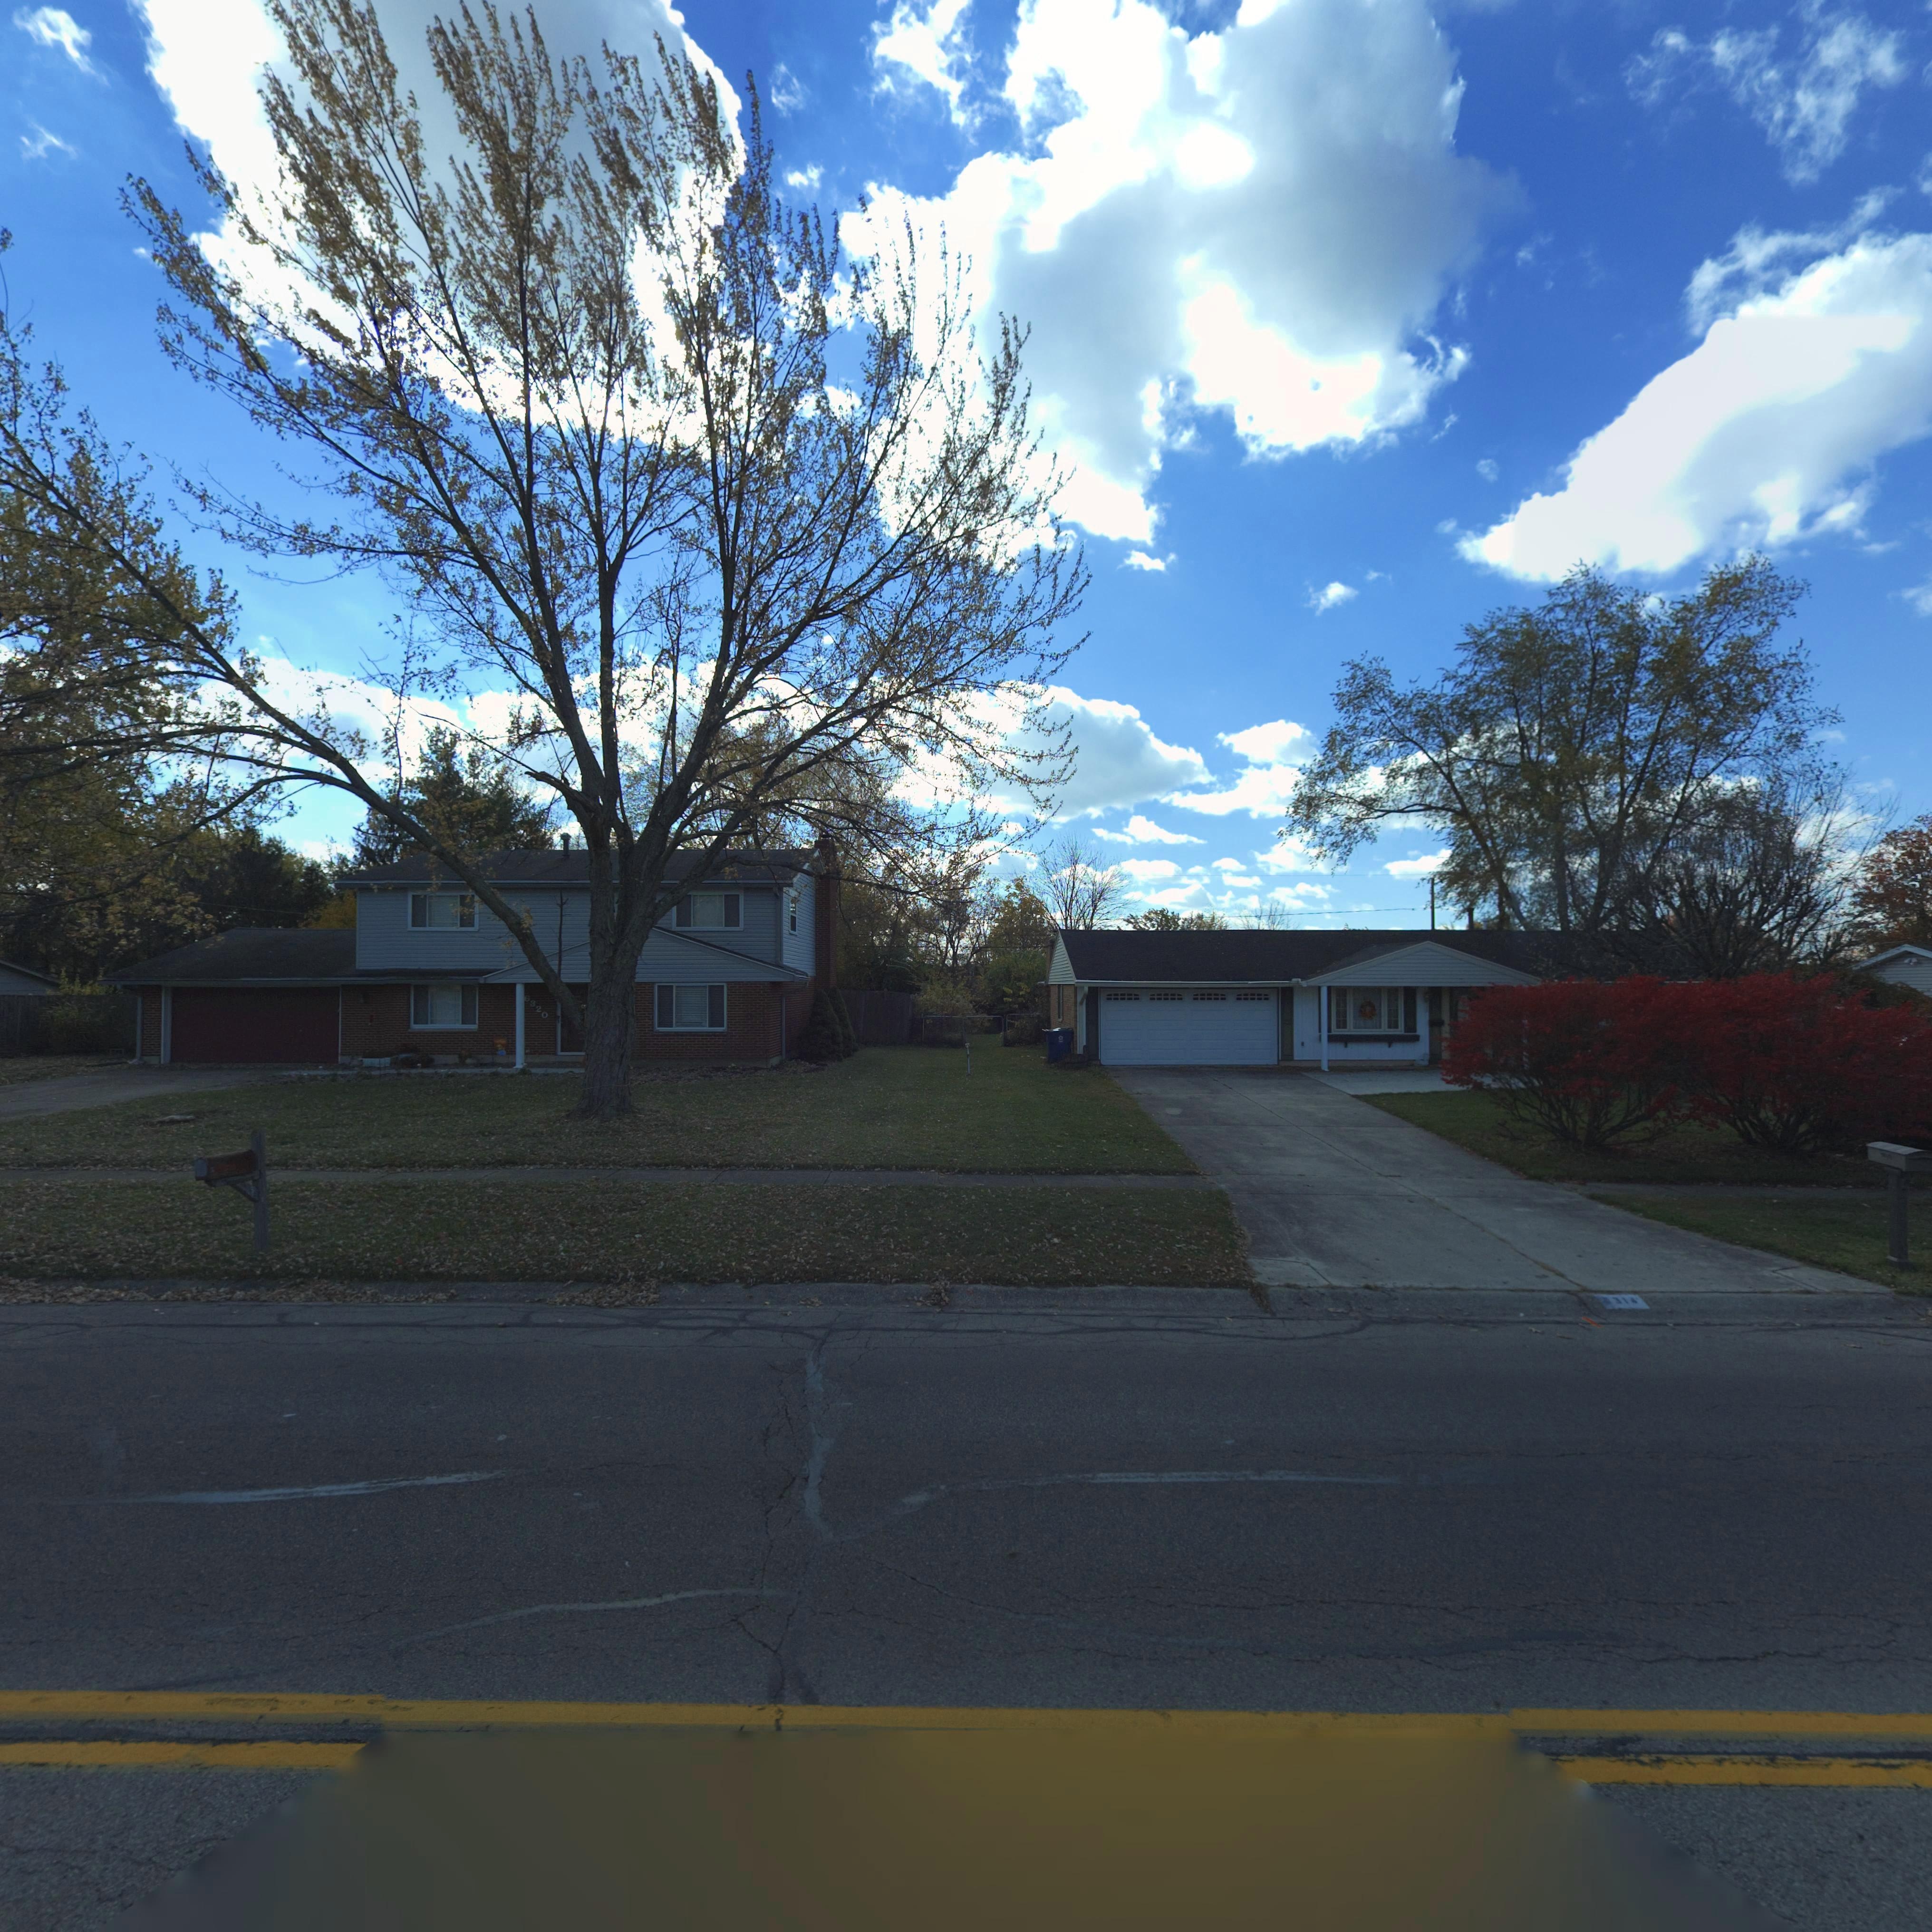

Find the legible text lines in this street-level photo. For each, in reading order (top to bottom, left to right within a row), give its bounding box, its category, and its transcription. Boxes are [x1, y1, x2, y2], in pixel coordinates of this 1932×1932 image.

[524, 995, 548, 1019] StreetNumber: 6320
[1611, 1296, 1640, 1304] StreetNumber: 314